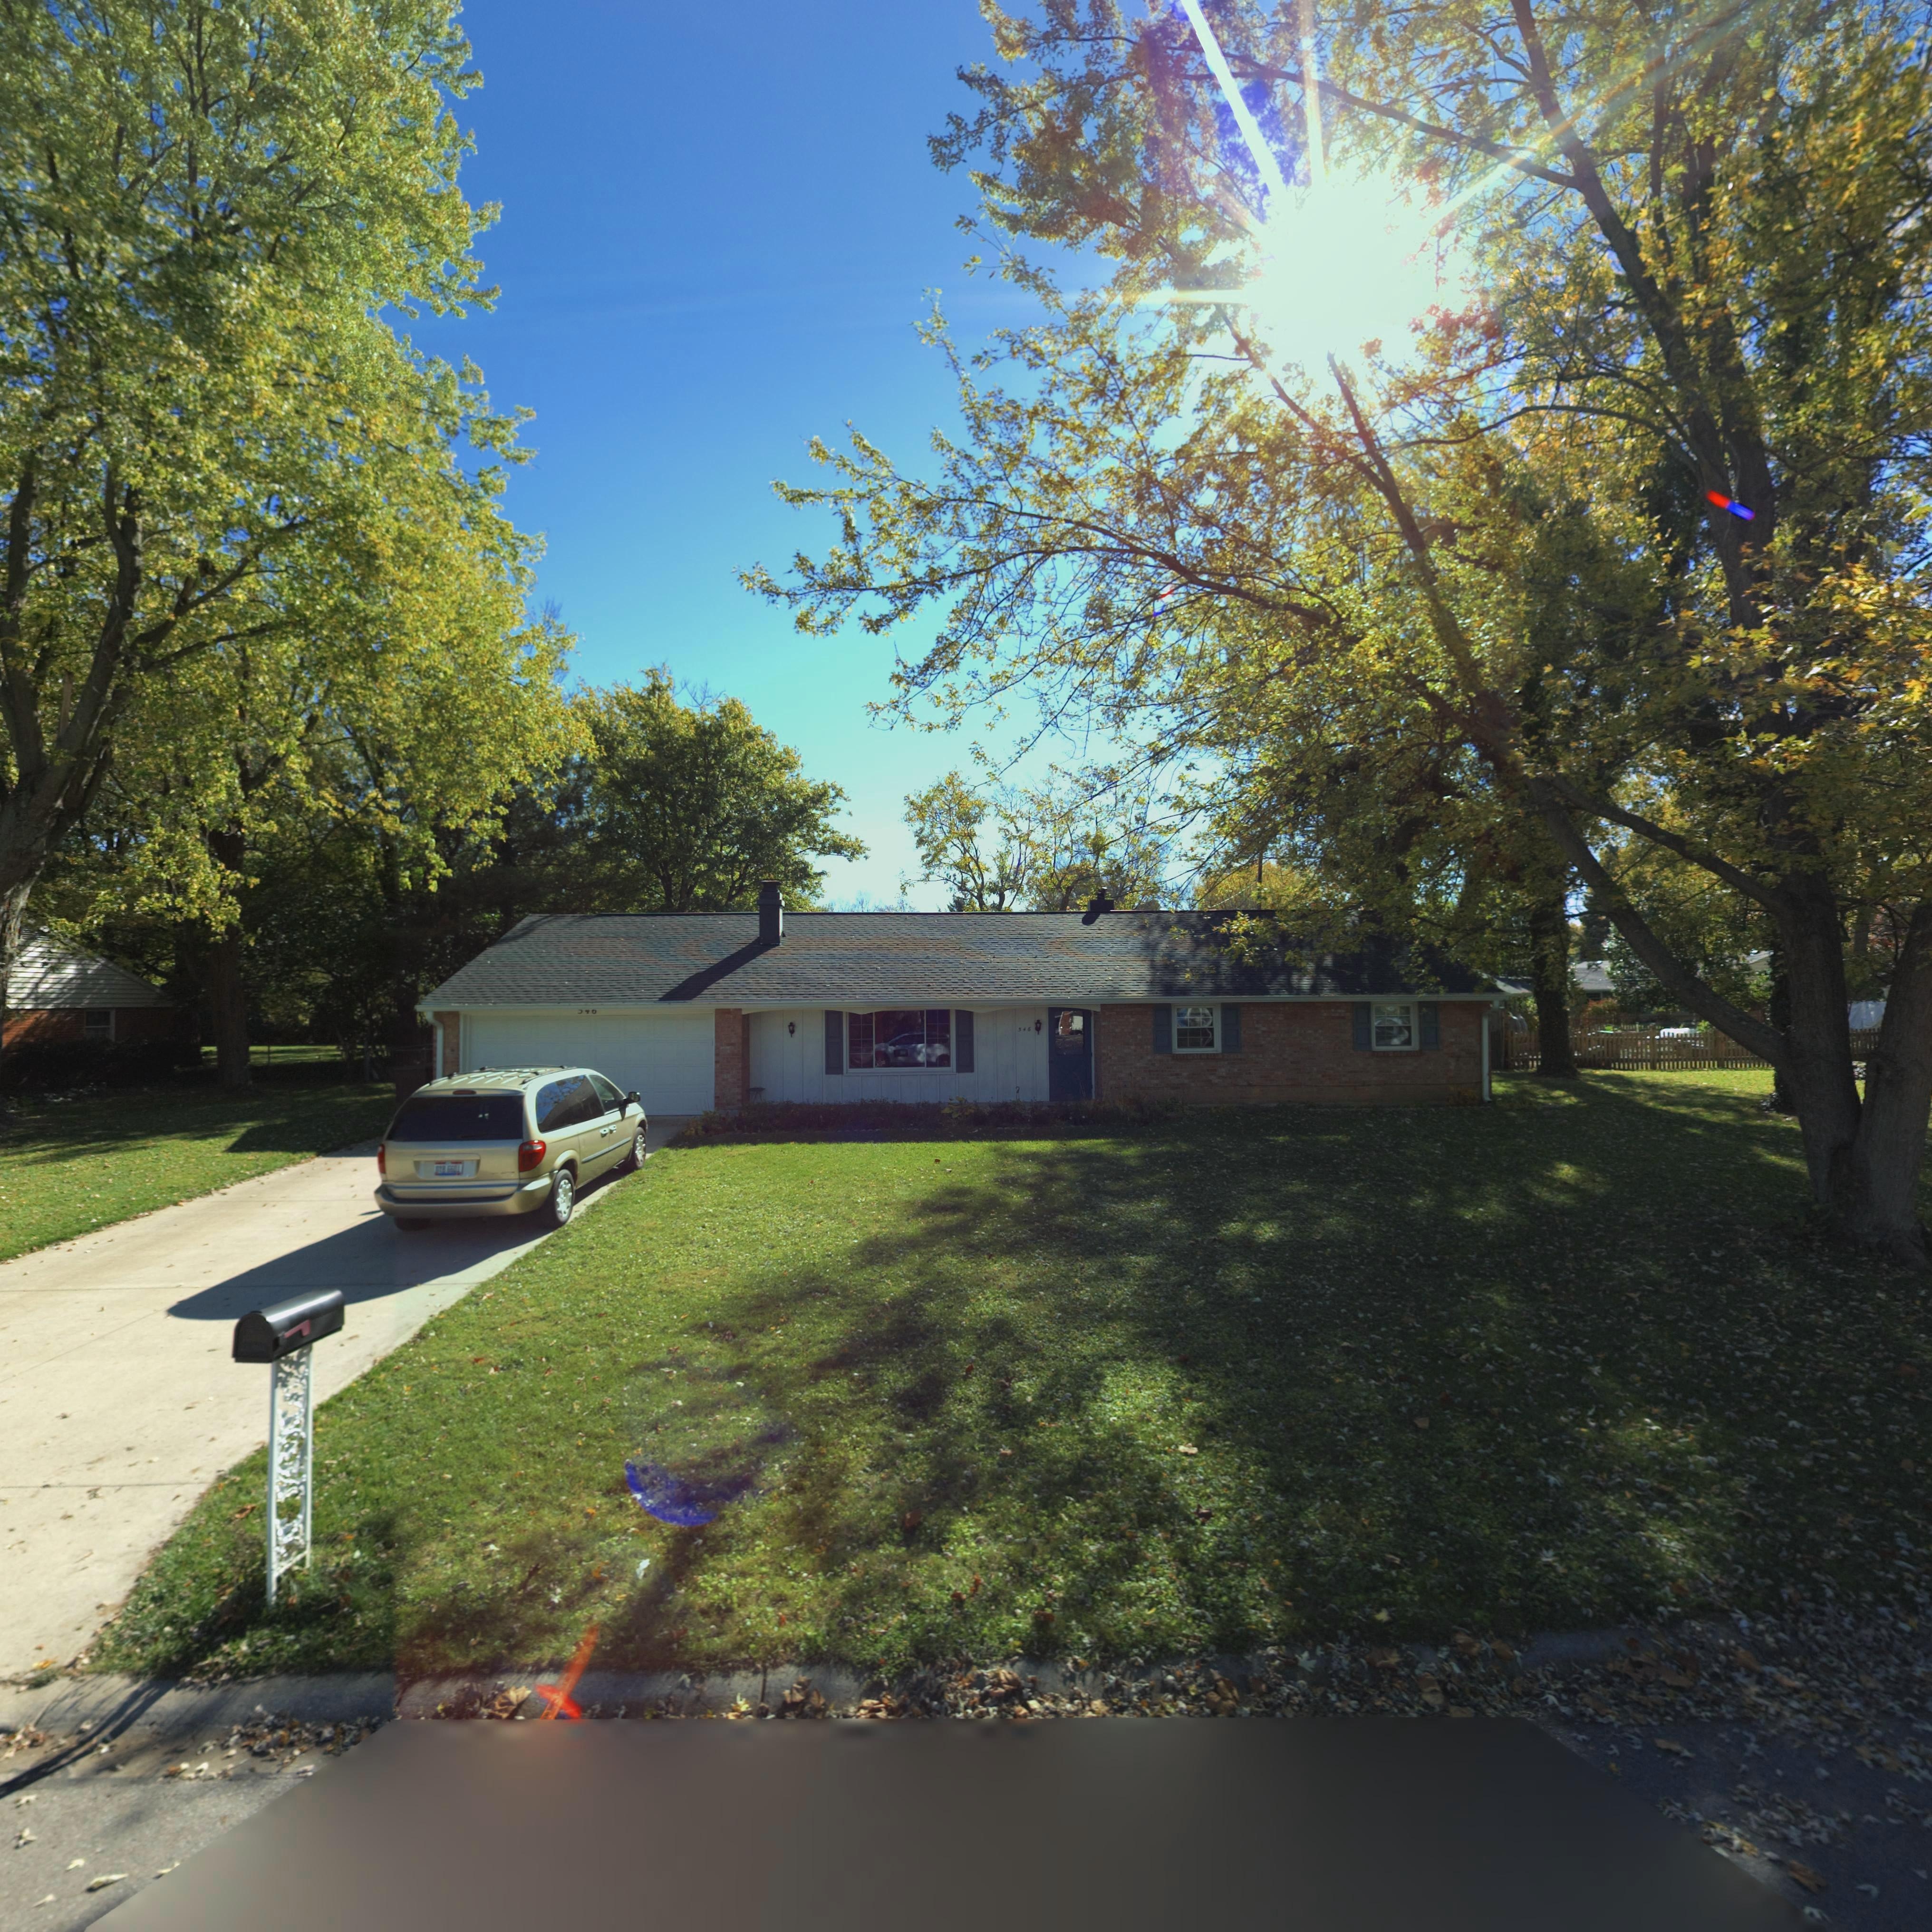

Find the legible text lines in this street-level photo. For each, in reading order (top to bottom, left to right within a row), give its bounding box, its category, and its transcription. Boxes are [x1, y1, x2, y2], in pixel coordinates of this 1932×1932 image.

[1018, 1026, 1031, 1032] StreetNumber: 546
[446, 1165, 461, 1173] None: 6601